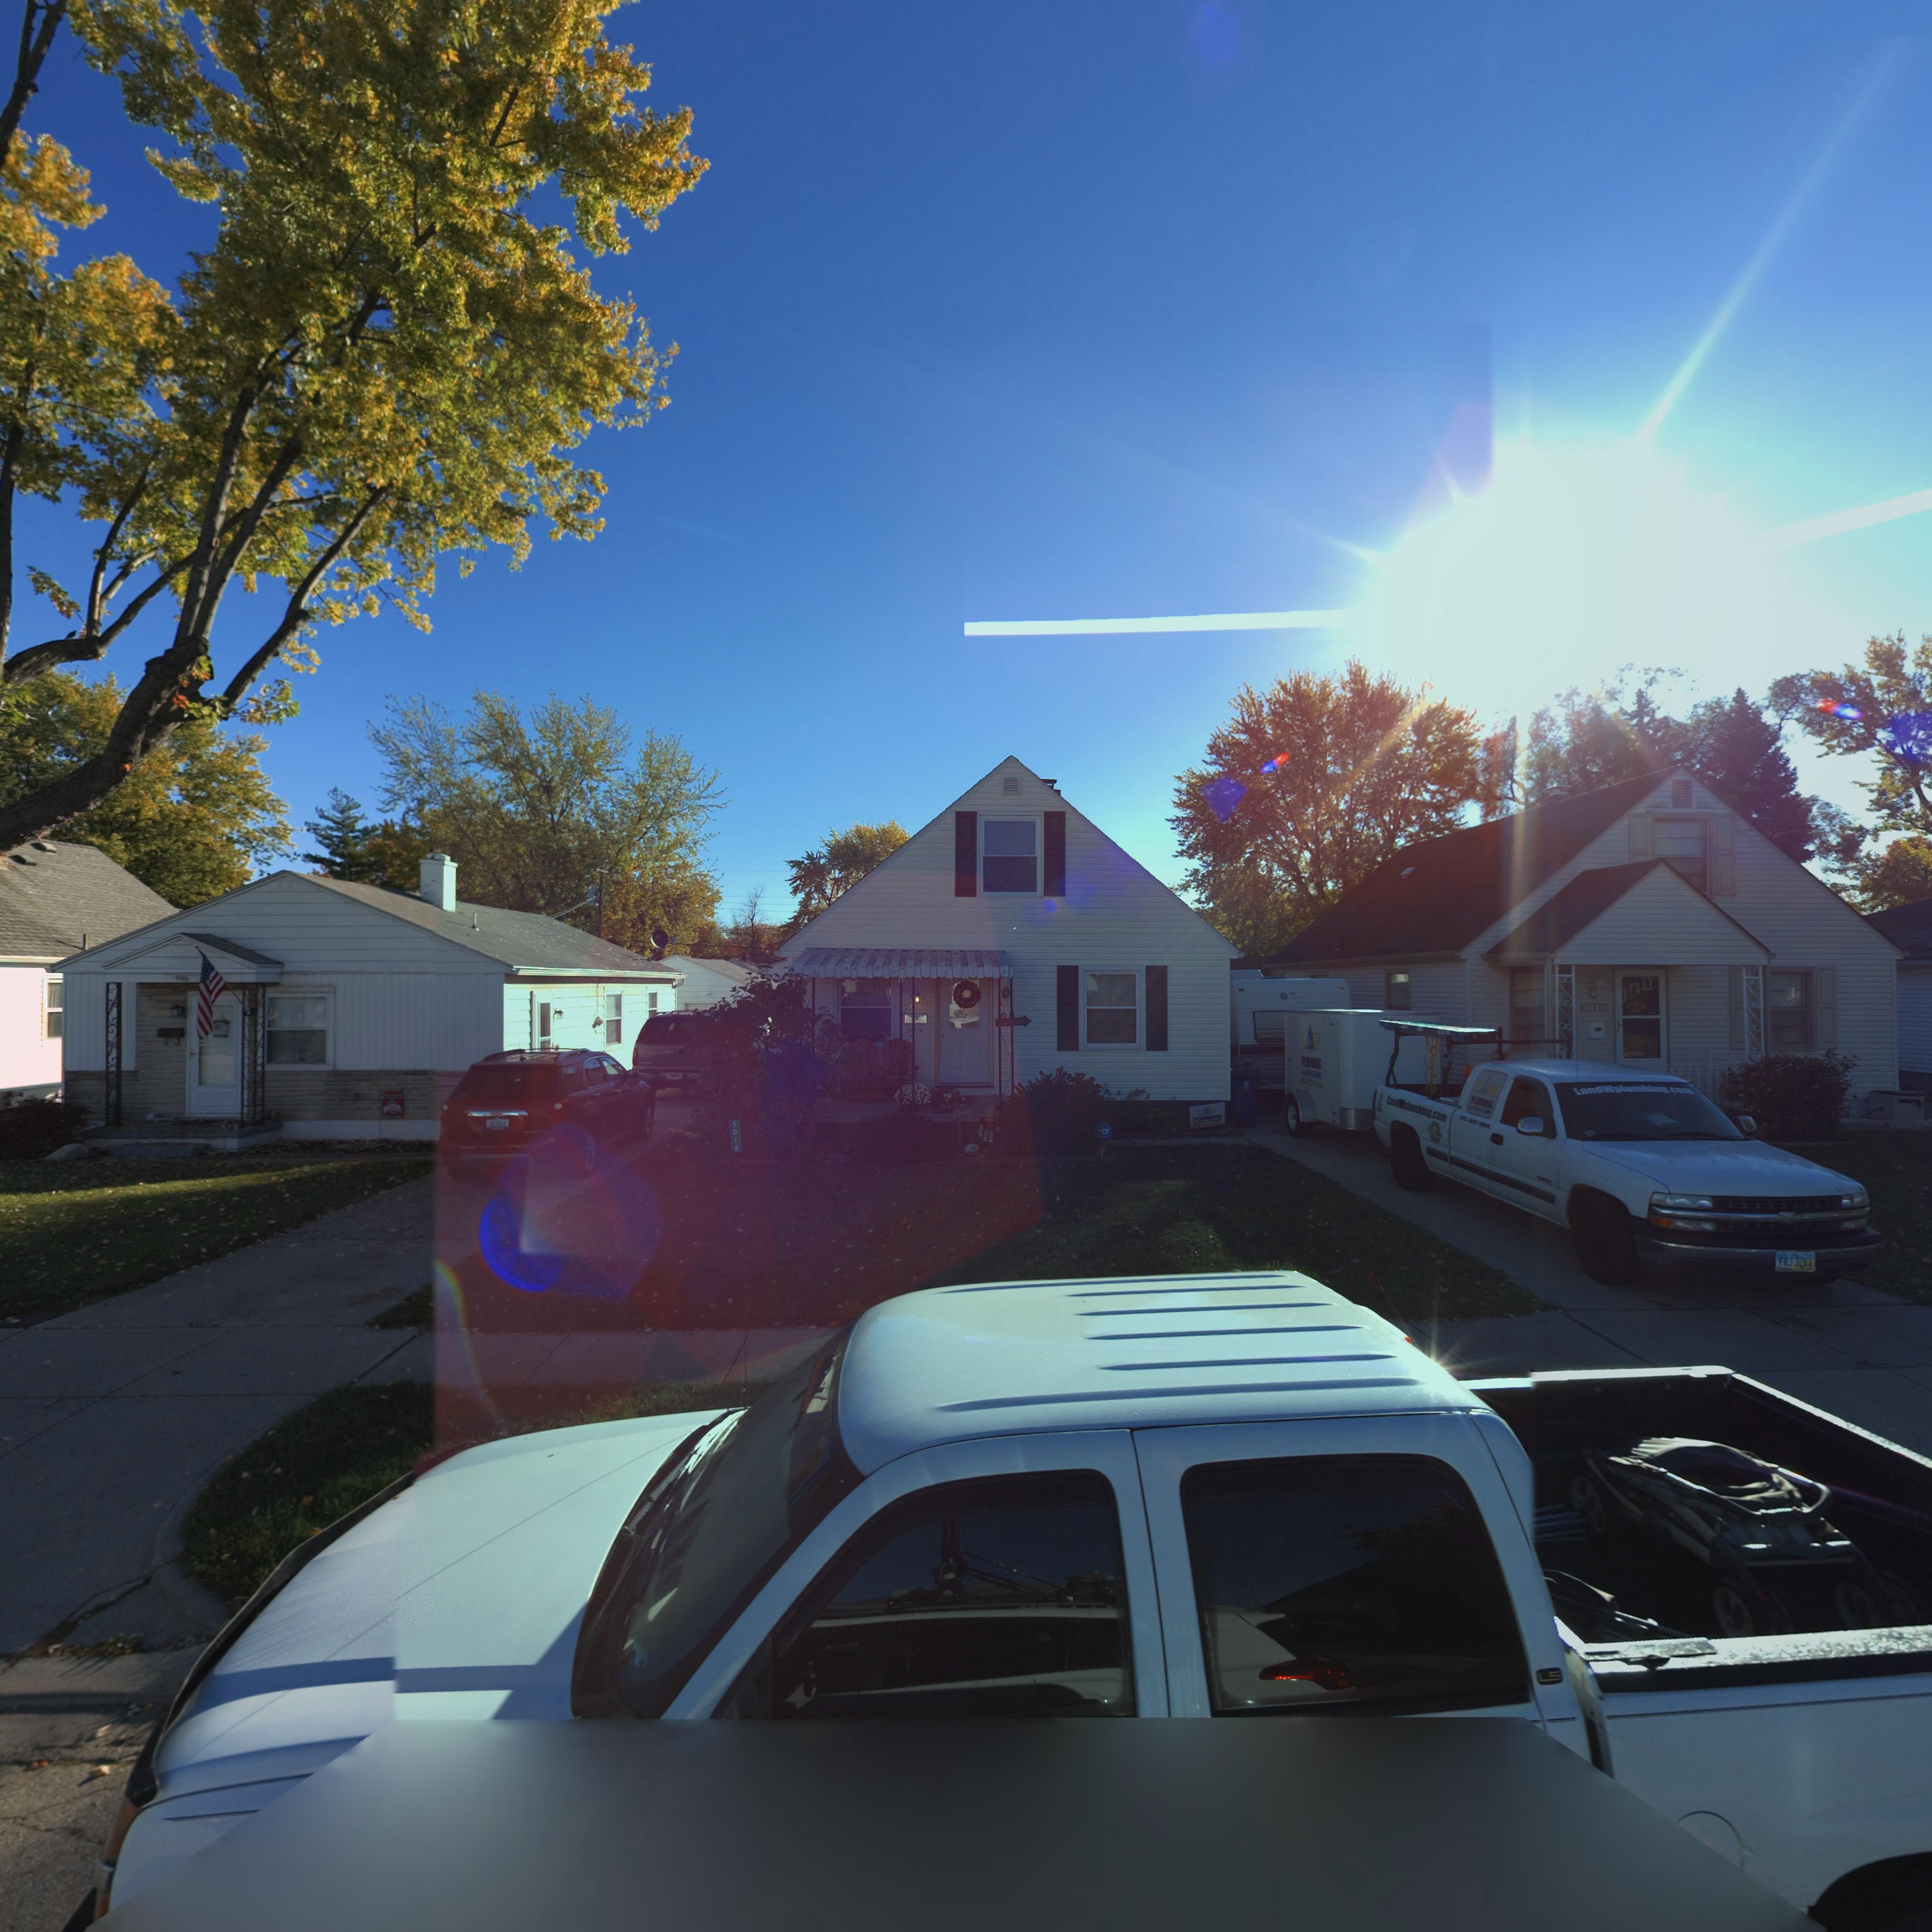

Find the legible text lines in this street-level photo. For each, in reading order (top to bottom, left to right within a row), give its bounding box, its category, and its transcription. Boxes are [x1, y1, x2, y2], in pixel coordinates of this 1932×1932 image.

[174, 975, 189, 982] StreetNumber: 501*
[918, 1004, 930, 1011] StreetNumber: 18
[1582, 1004, 1606, 1011] StreetNumber: 5020
[732, 1121, 739, 1152] StreetNumber: 5018